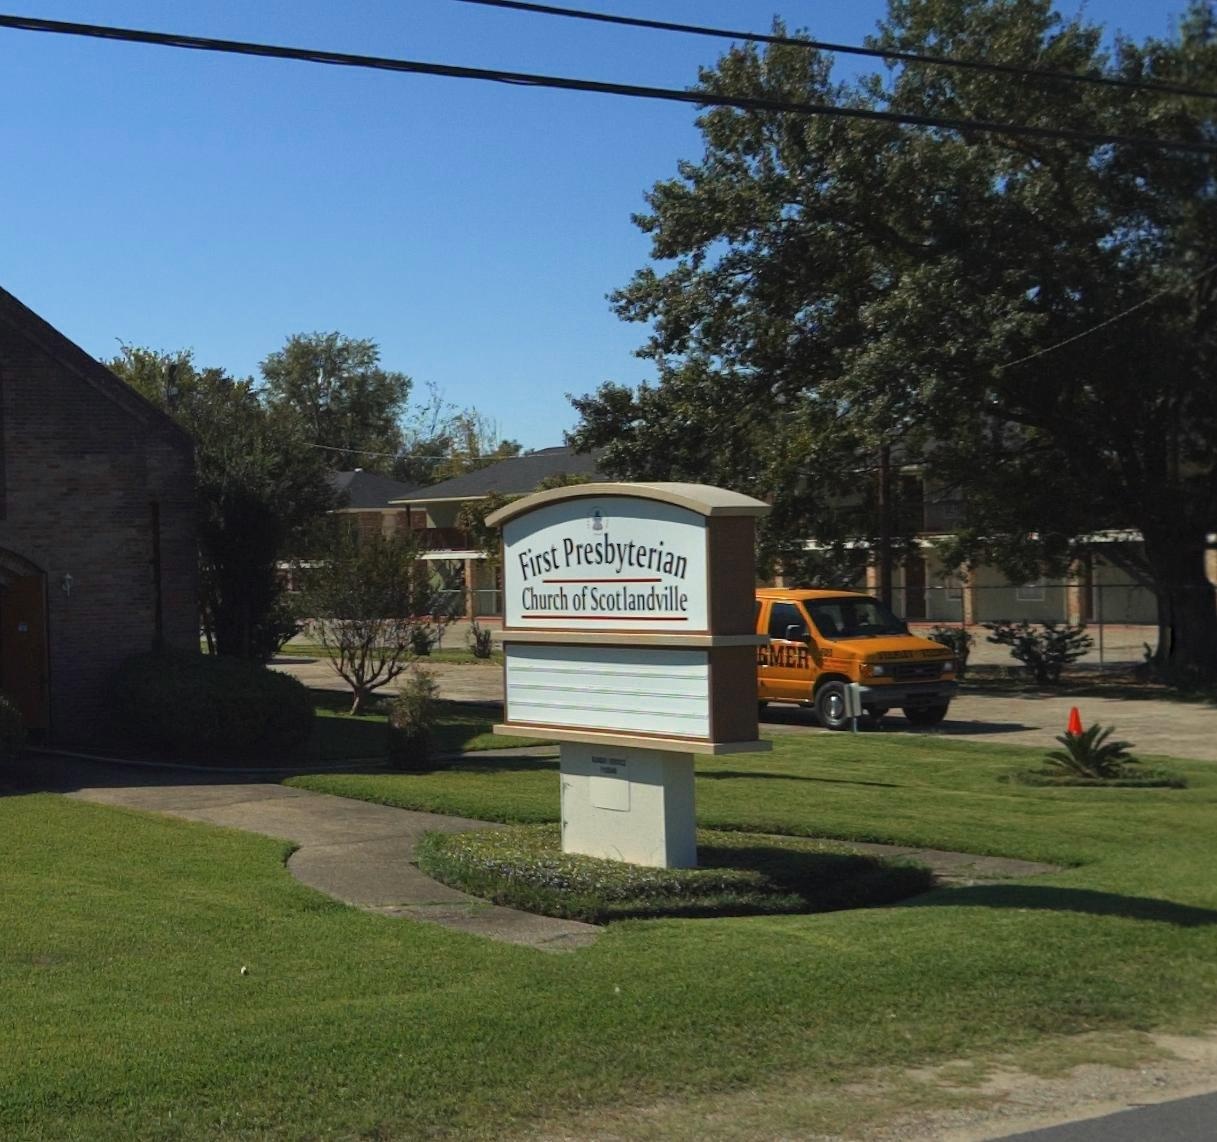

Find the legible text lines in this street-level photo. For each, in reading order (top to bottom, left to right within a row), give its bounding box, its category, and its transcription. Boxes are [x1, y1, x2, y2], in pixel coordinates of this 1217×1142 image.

[516, 531, 688, 582] BusinessName: First Presbyterian
[521, 585, 689, 613] BusinessName: First Presbyterian Church Of Scotlandville
[768, 644, 810, 670] None: MER